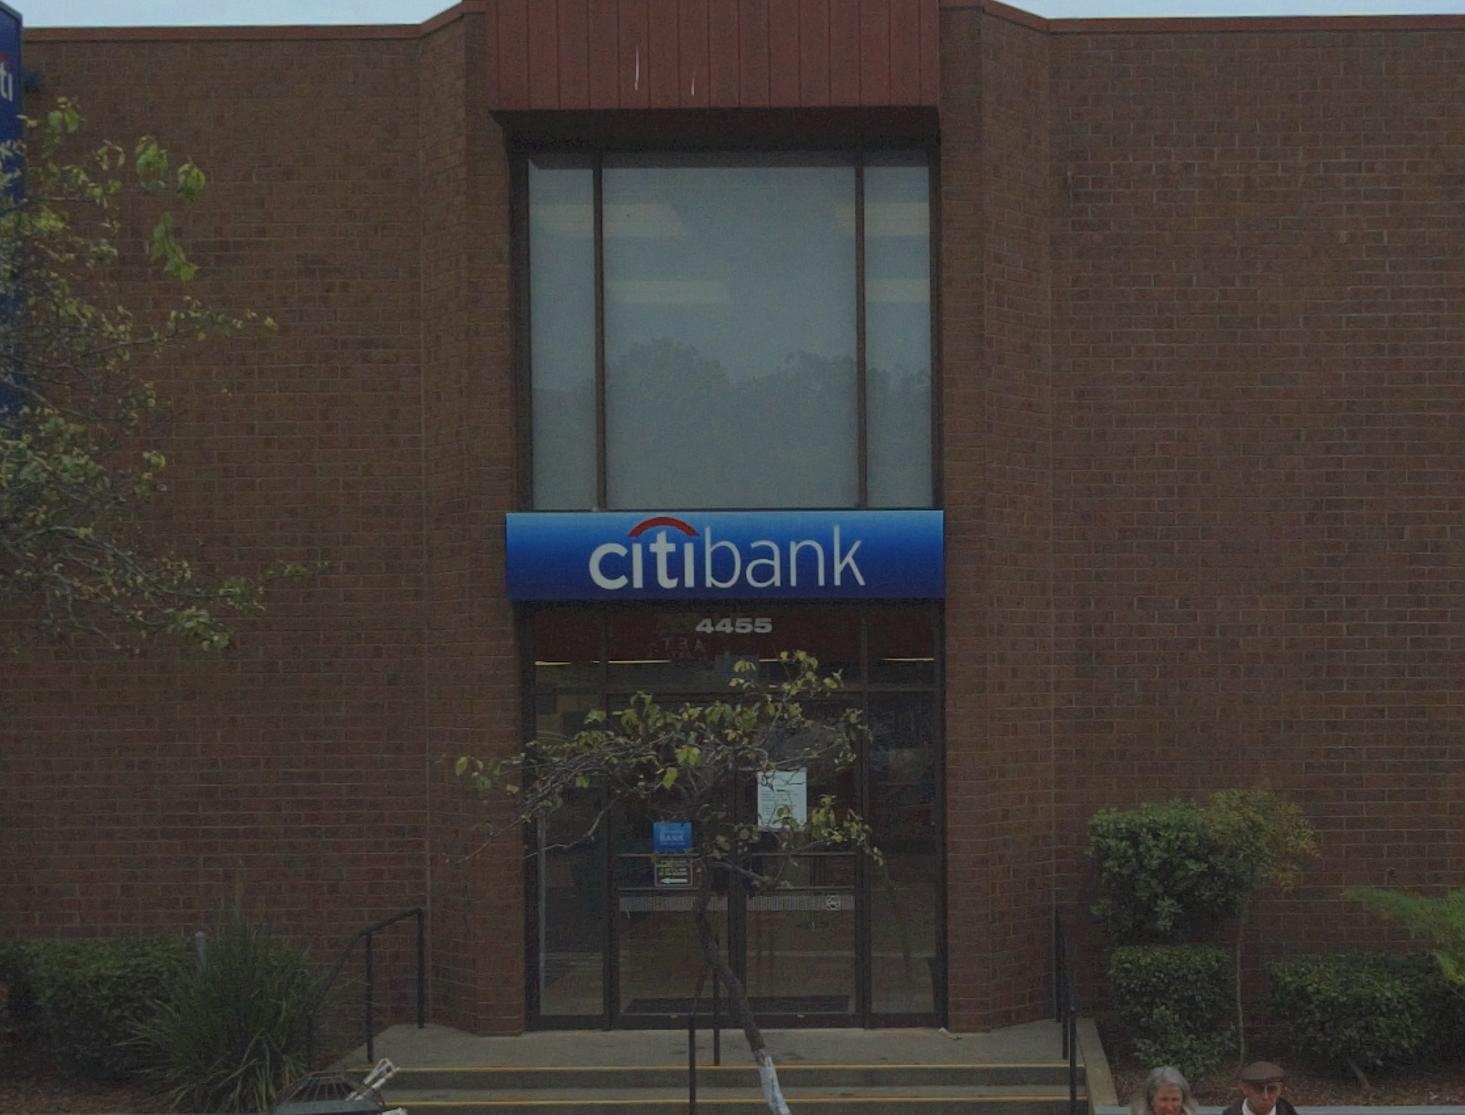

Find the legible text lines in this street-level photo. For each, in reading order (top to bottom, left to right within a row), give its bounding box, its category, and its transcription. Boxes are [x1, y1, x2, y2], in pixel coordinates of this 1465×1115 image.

[6, 70, 15, 106] None: i
[584, 520, 870, 594] BusinessName: Citibank
[693, 615, 776, 636] StreetNumber: 4455